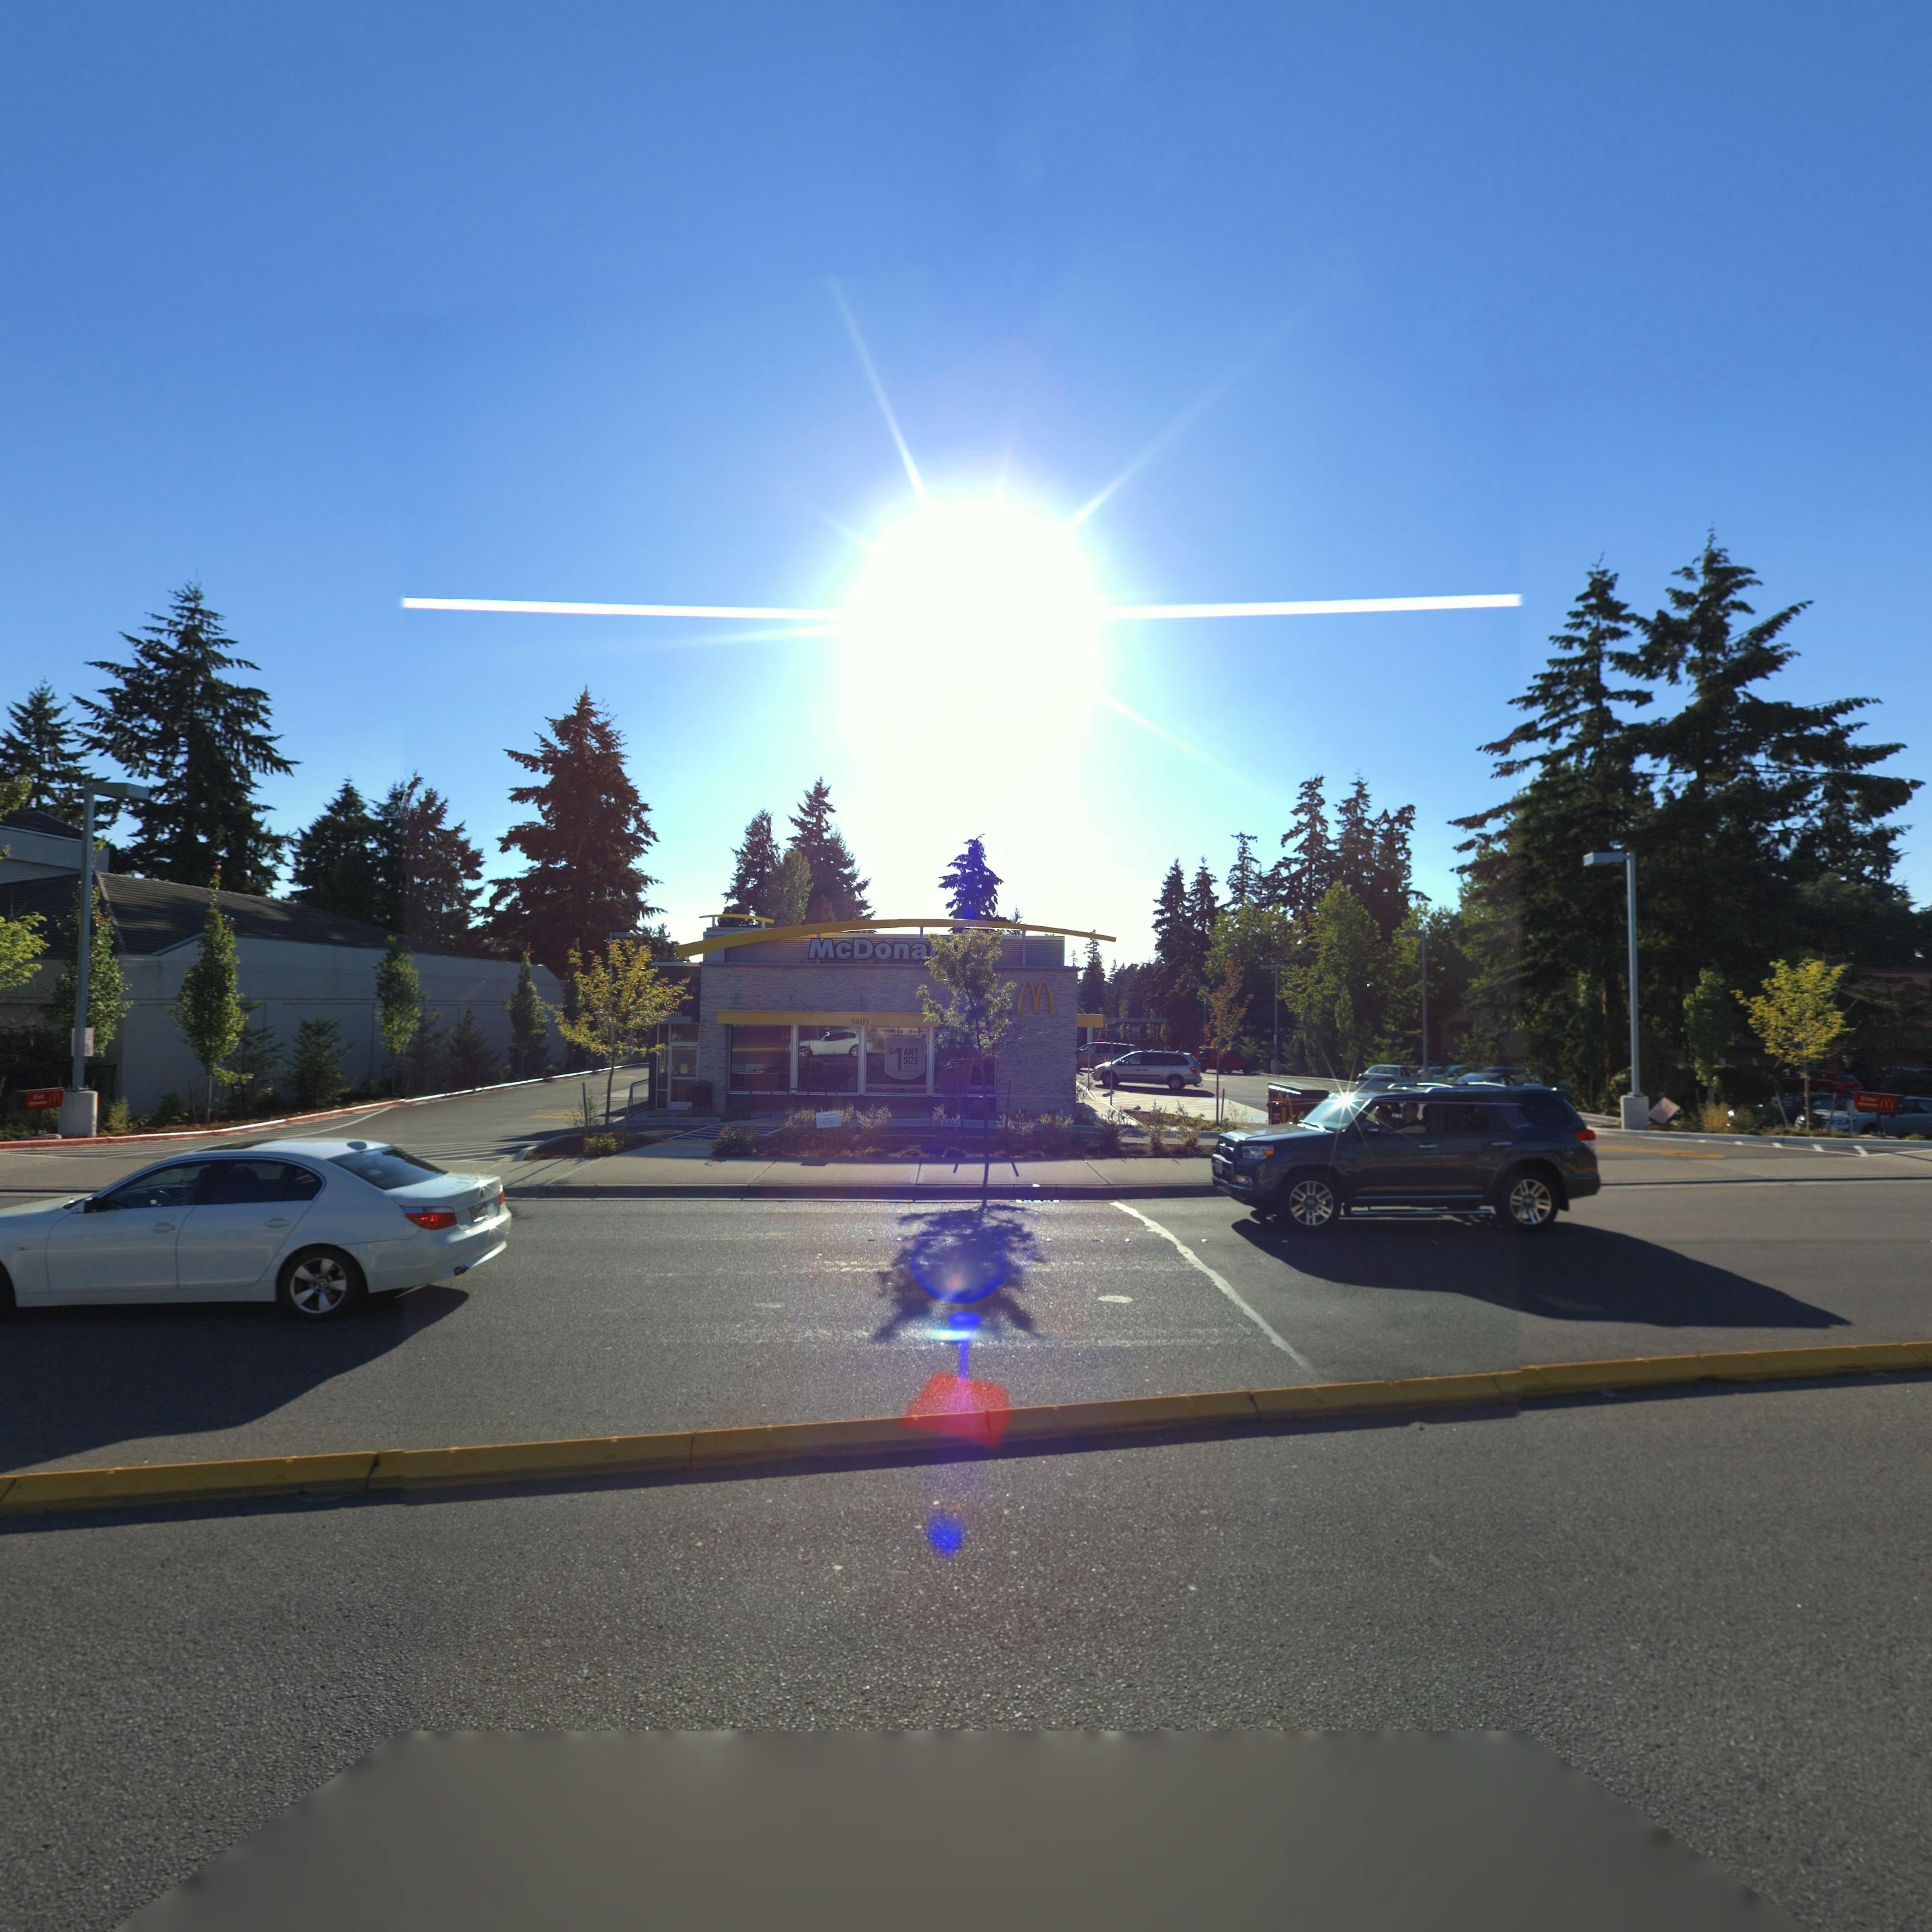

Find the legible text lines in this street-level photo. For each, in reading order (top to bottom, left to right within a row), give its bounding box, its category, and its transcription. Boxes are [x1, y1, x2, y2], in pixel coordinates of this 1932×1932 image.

[806, 937, 940, 962] BusinessName: McDona*
[850, 1017, 870, 1025] StreetNumber: 1401